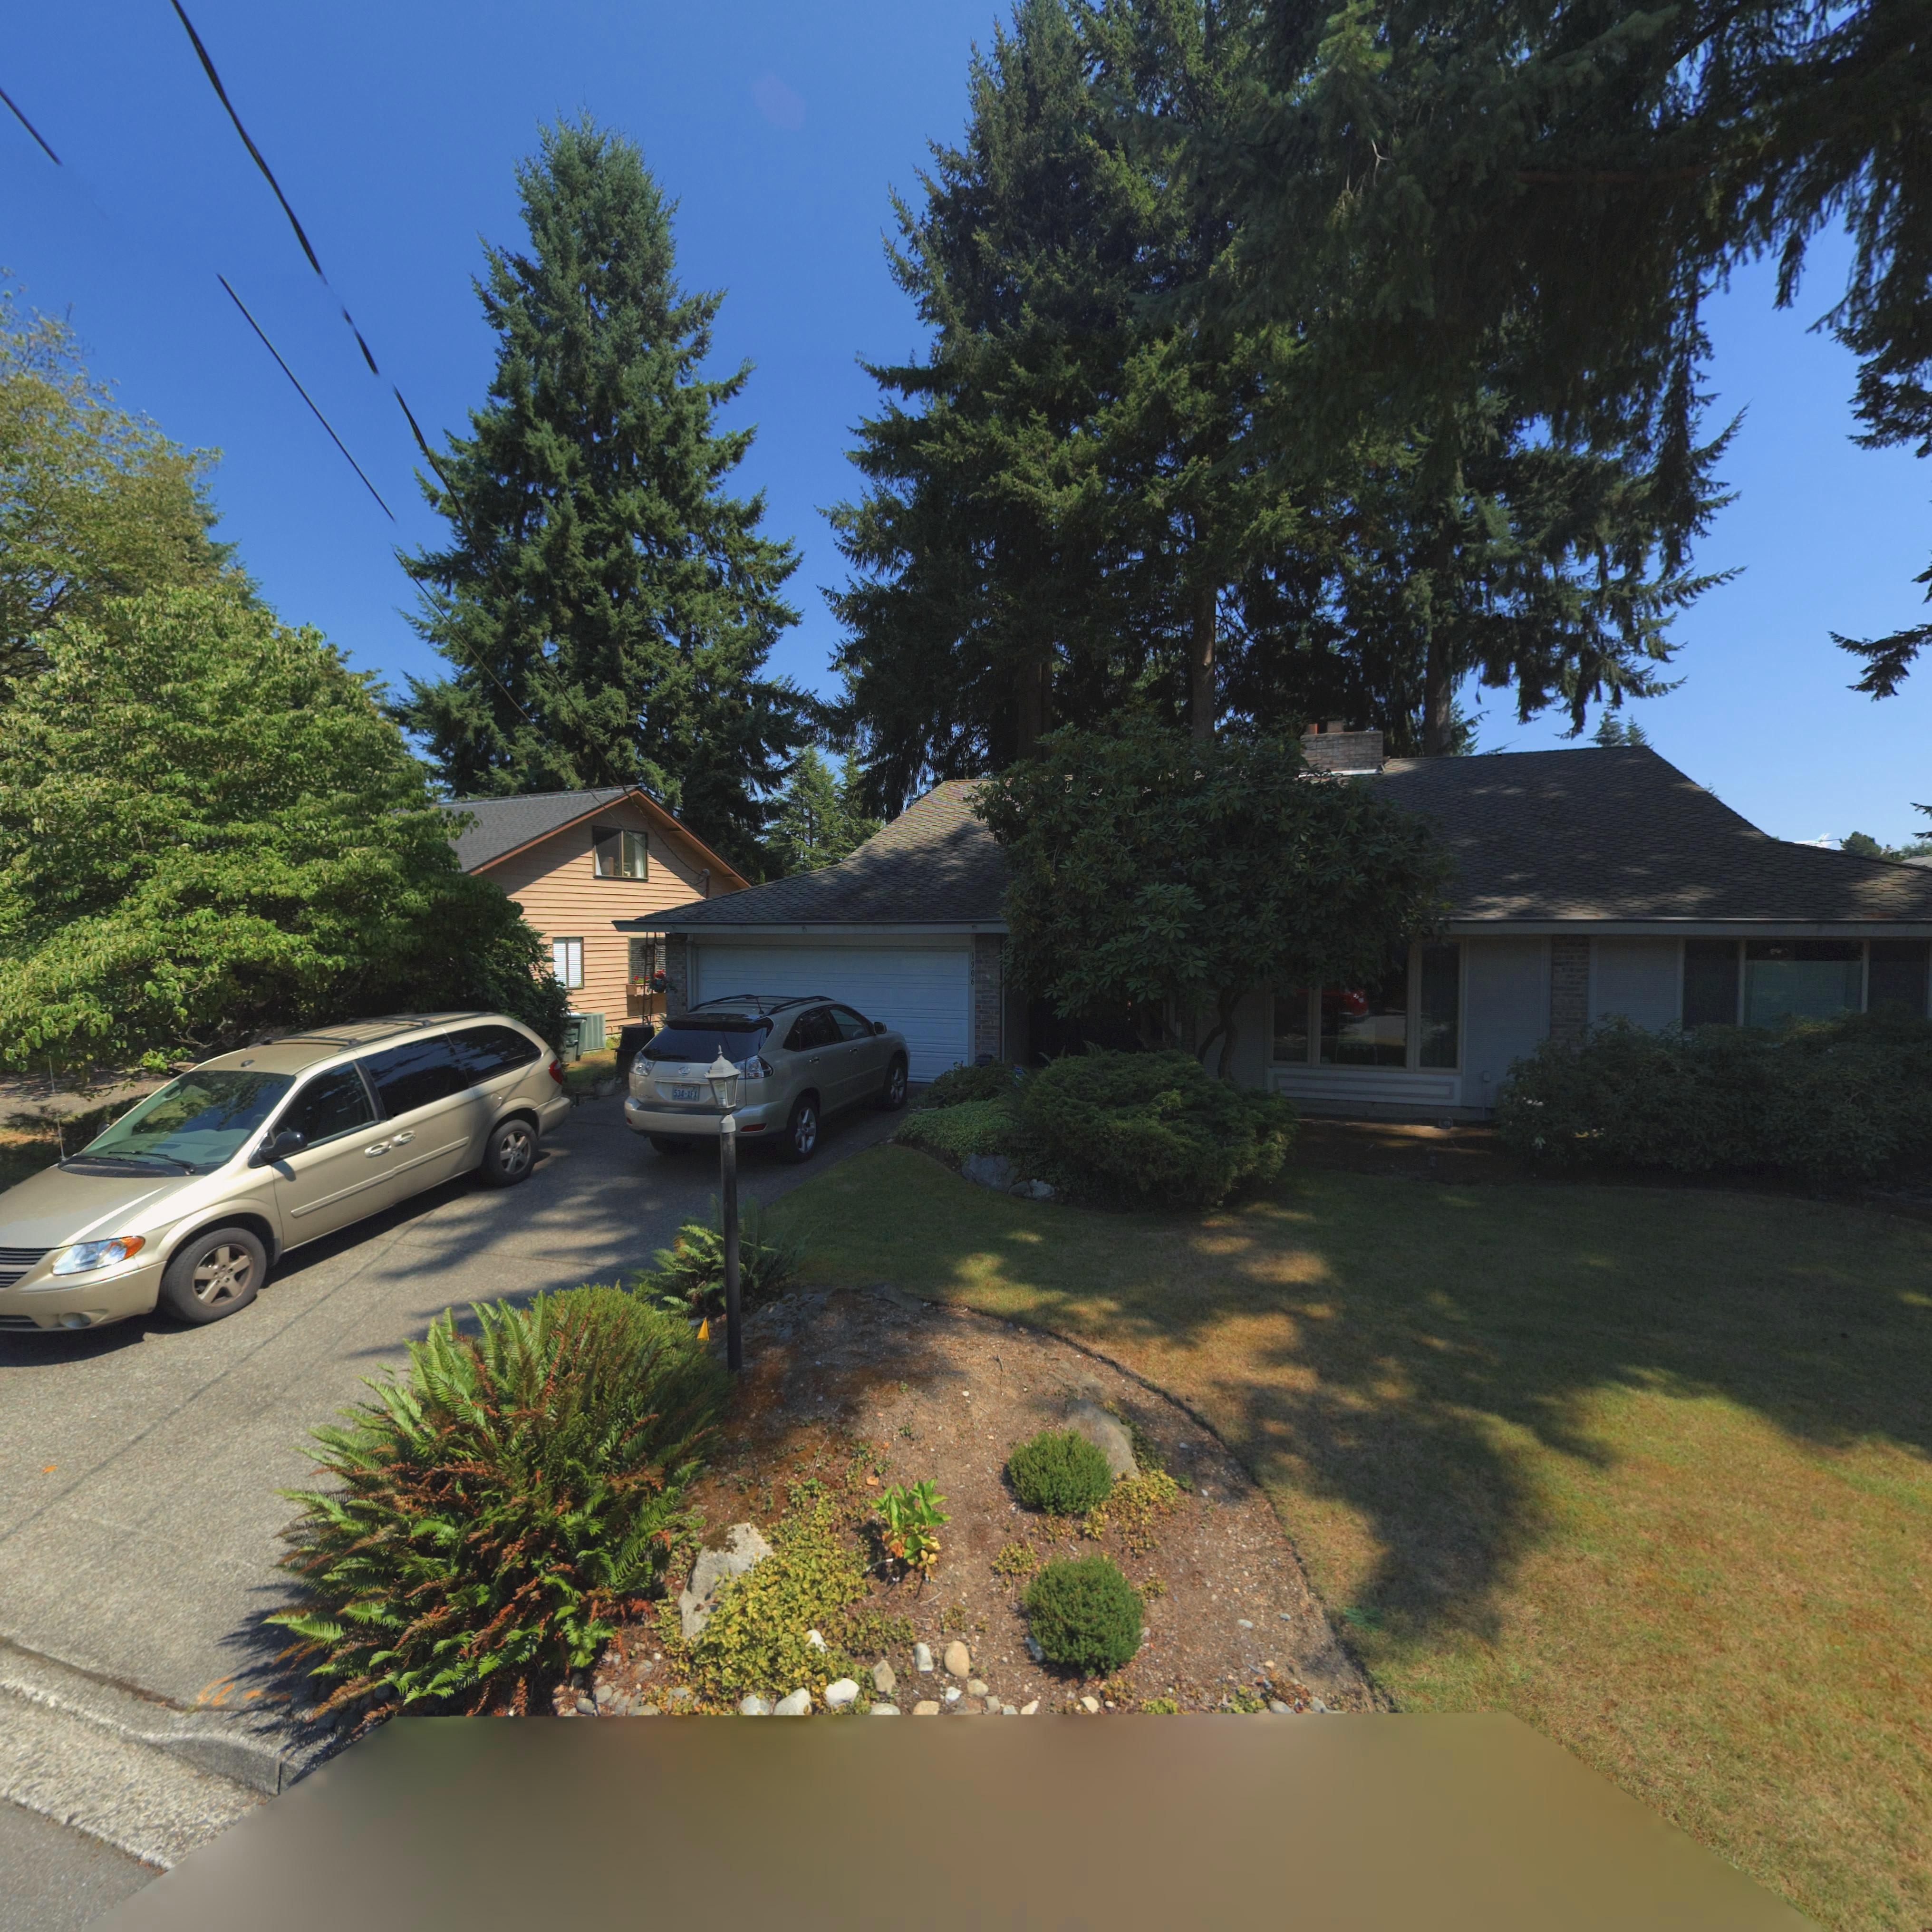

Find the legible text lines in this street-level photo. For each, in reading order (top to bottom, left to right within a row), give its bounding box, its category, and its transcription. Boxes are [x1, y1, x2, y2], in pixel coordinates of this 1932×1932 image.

[971, 952, 976, 985] StreetNumber: 1906